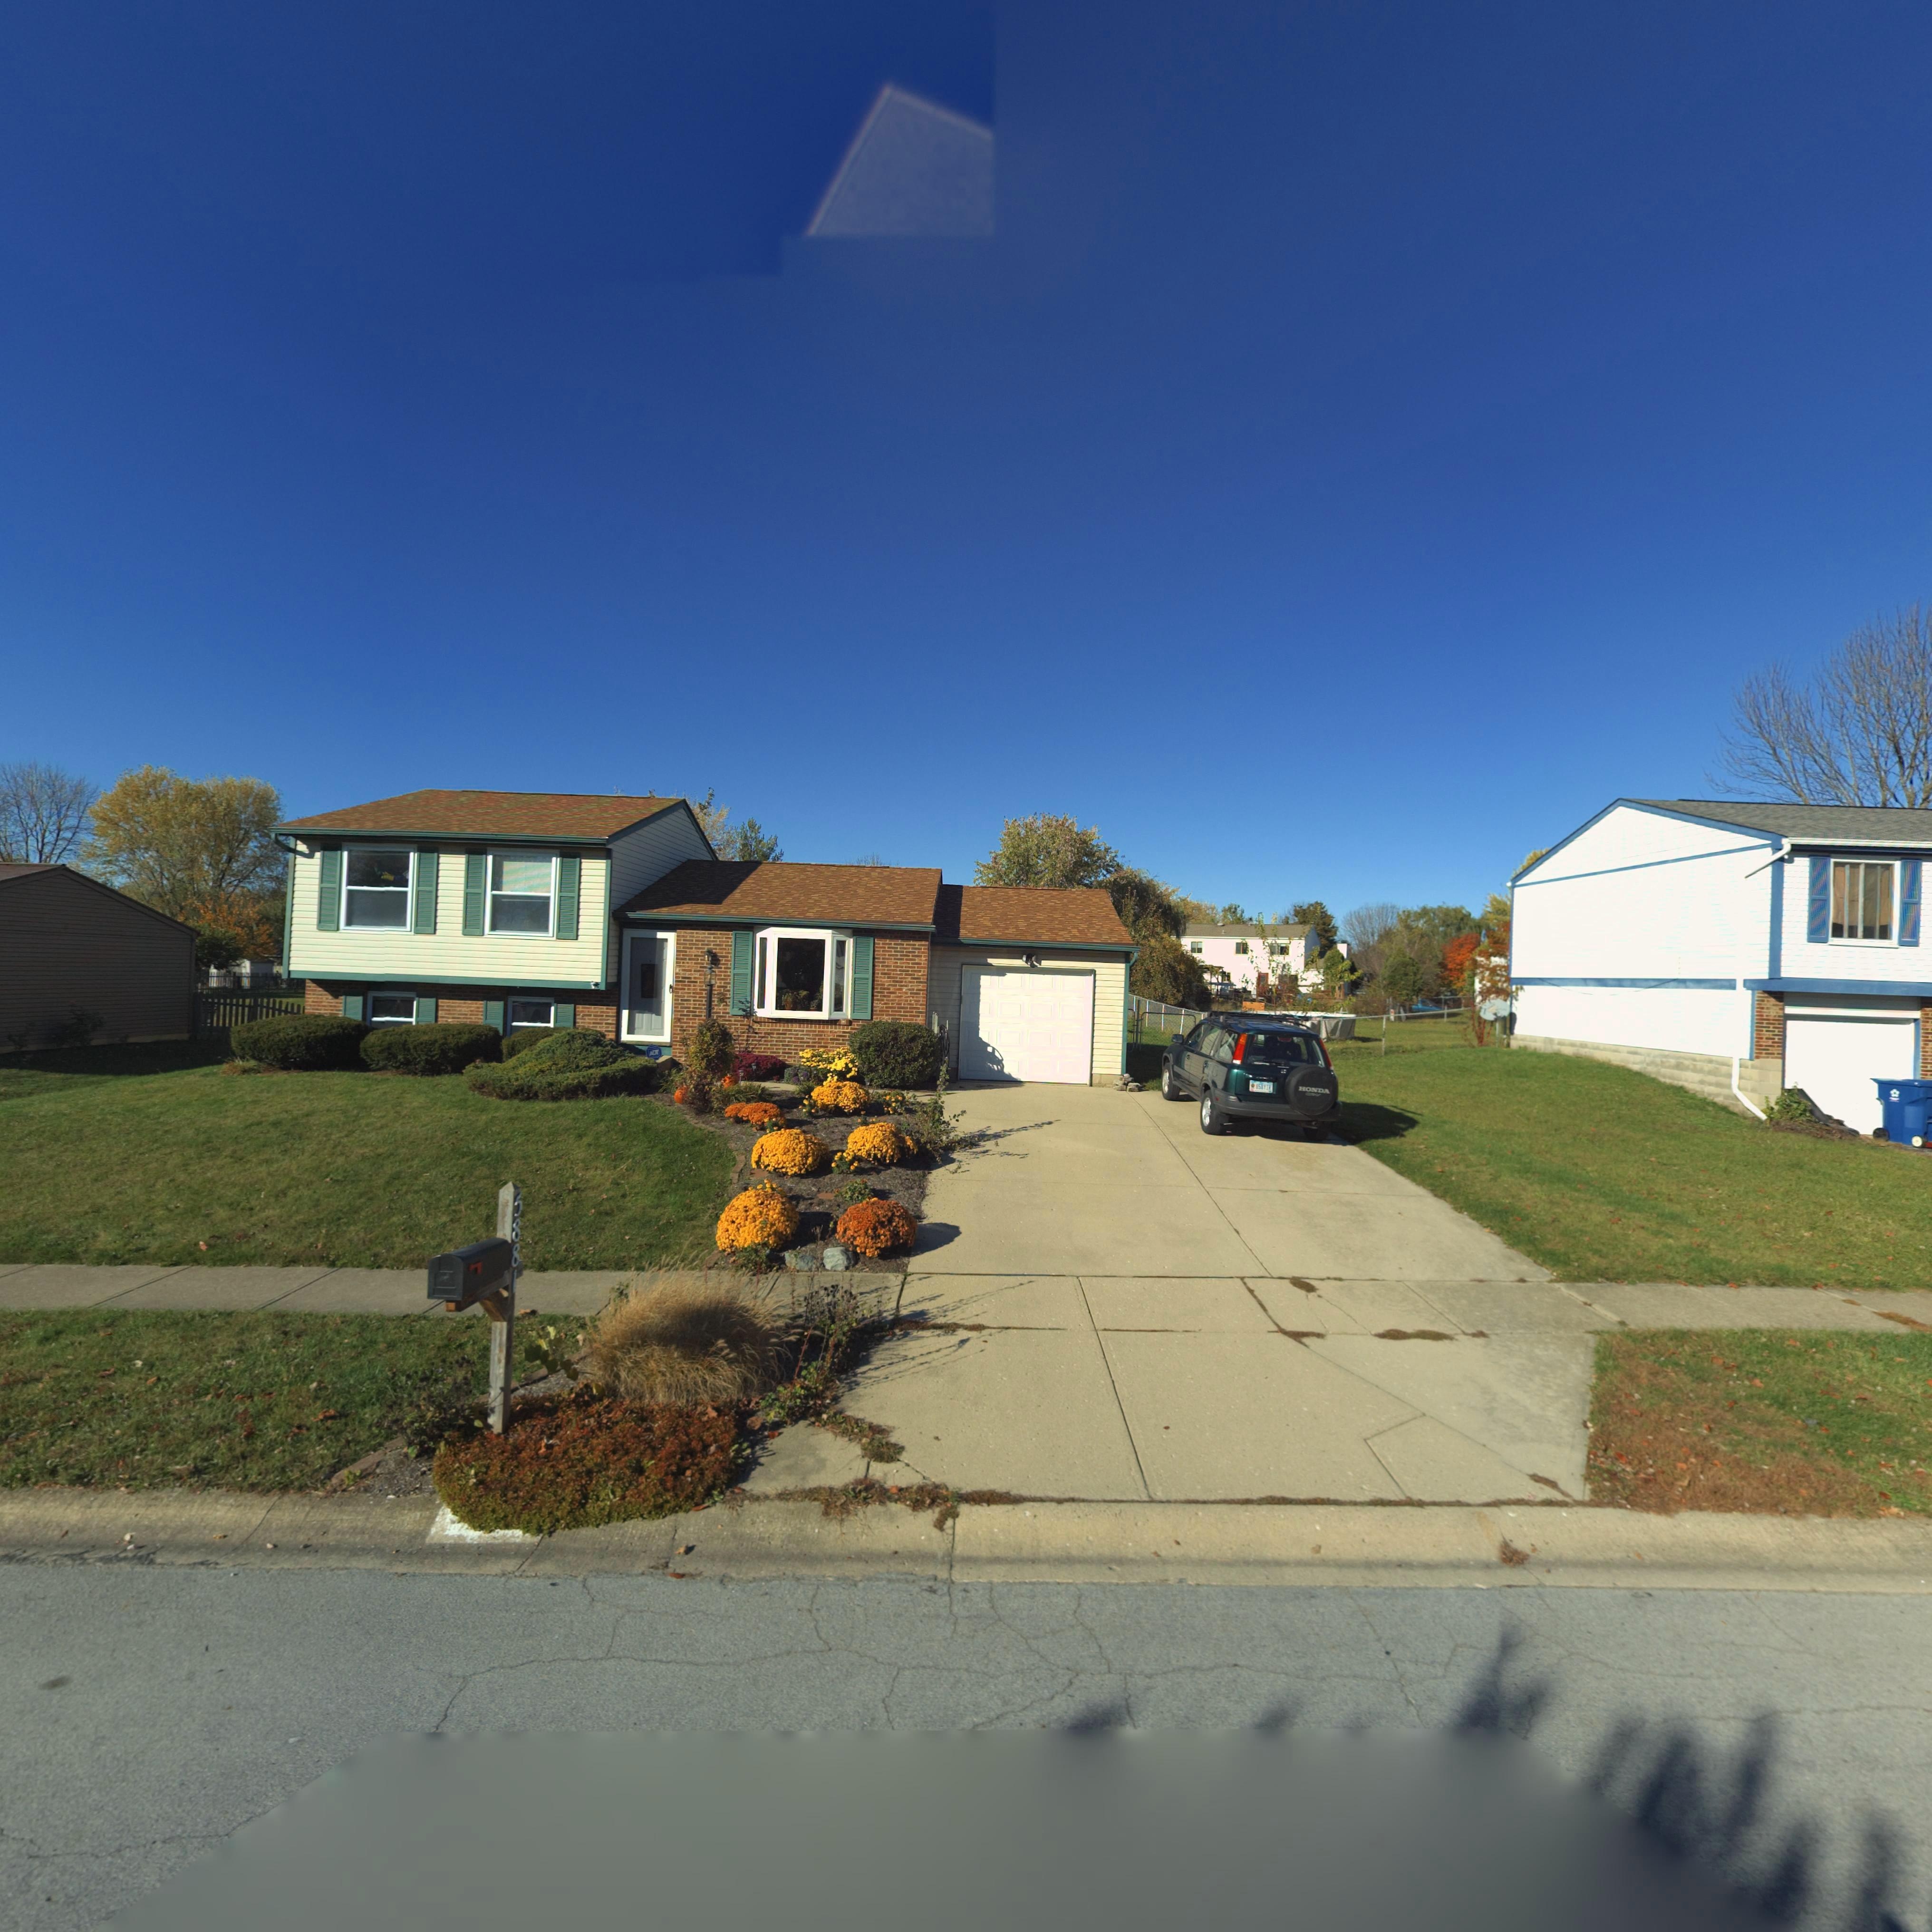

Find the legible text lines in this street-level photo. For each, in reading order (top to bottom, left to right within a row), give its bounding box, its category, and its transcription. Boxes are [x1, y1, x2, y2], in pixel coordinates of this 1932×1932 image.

[511, 1190, 523, 1295] StreetNumber: 5881